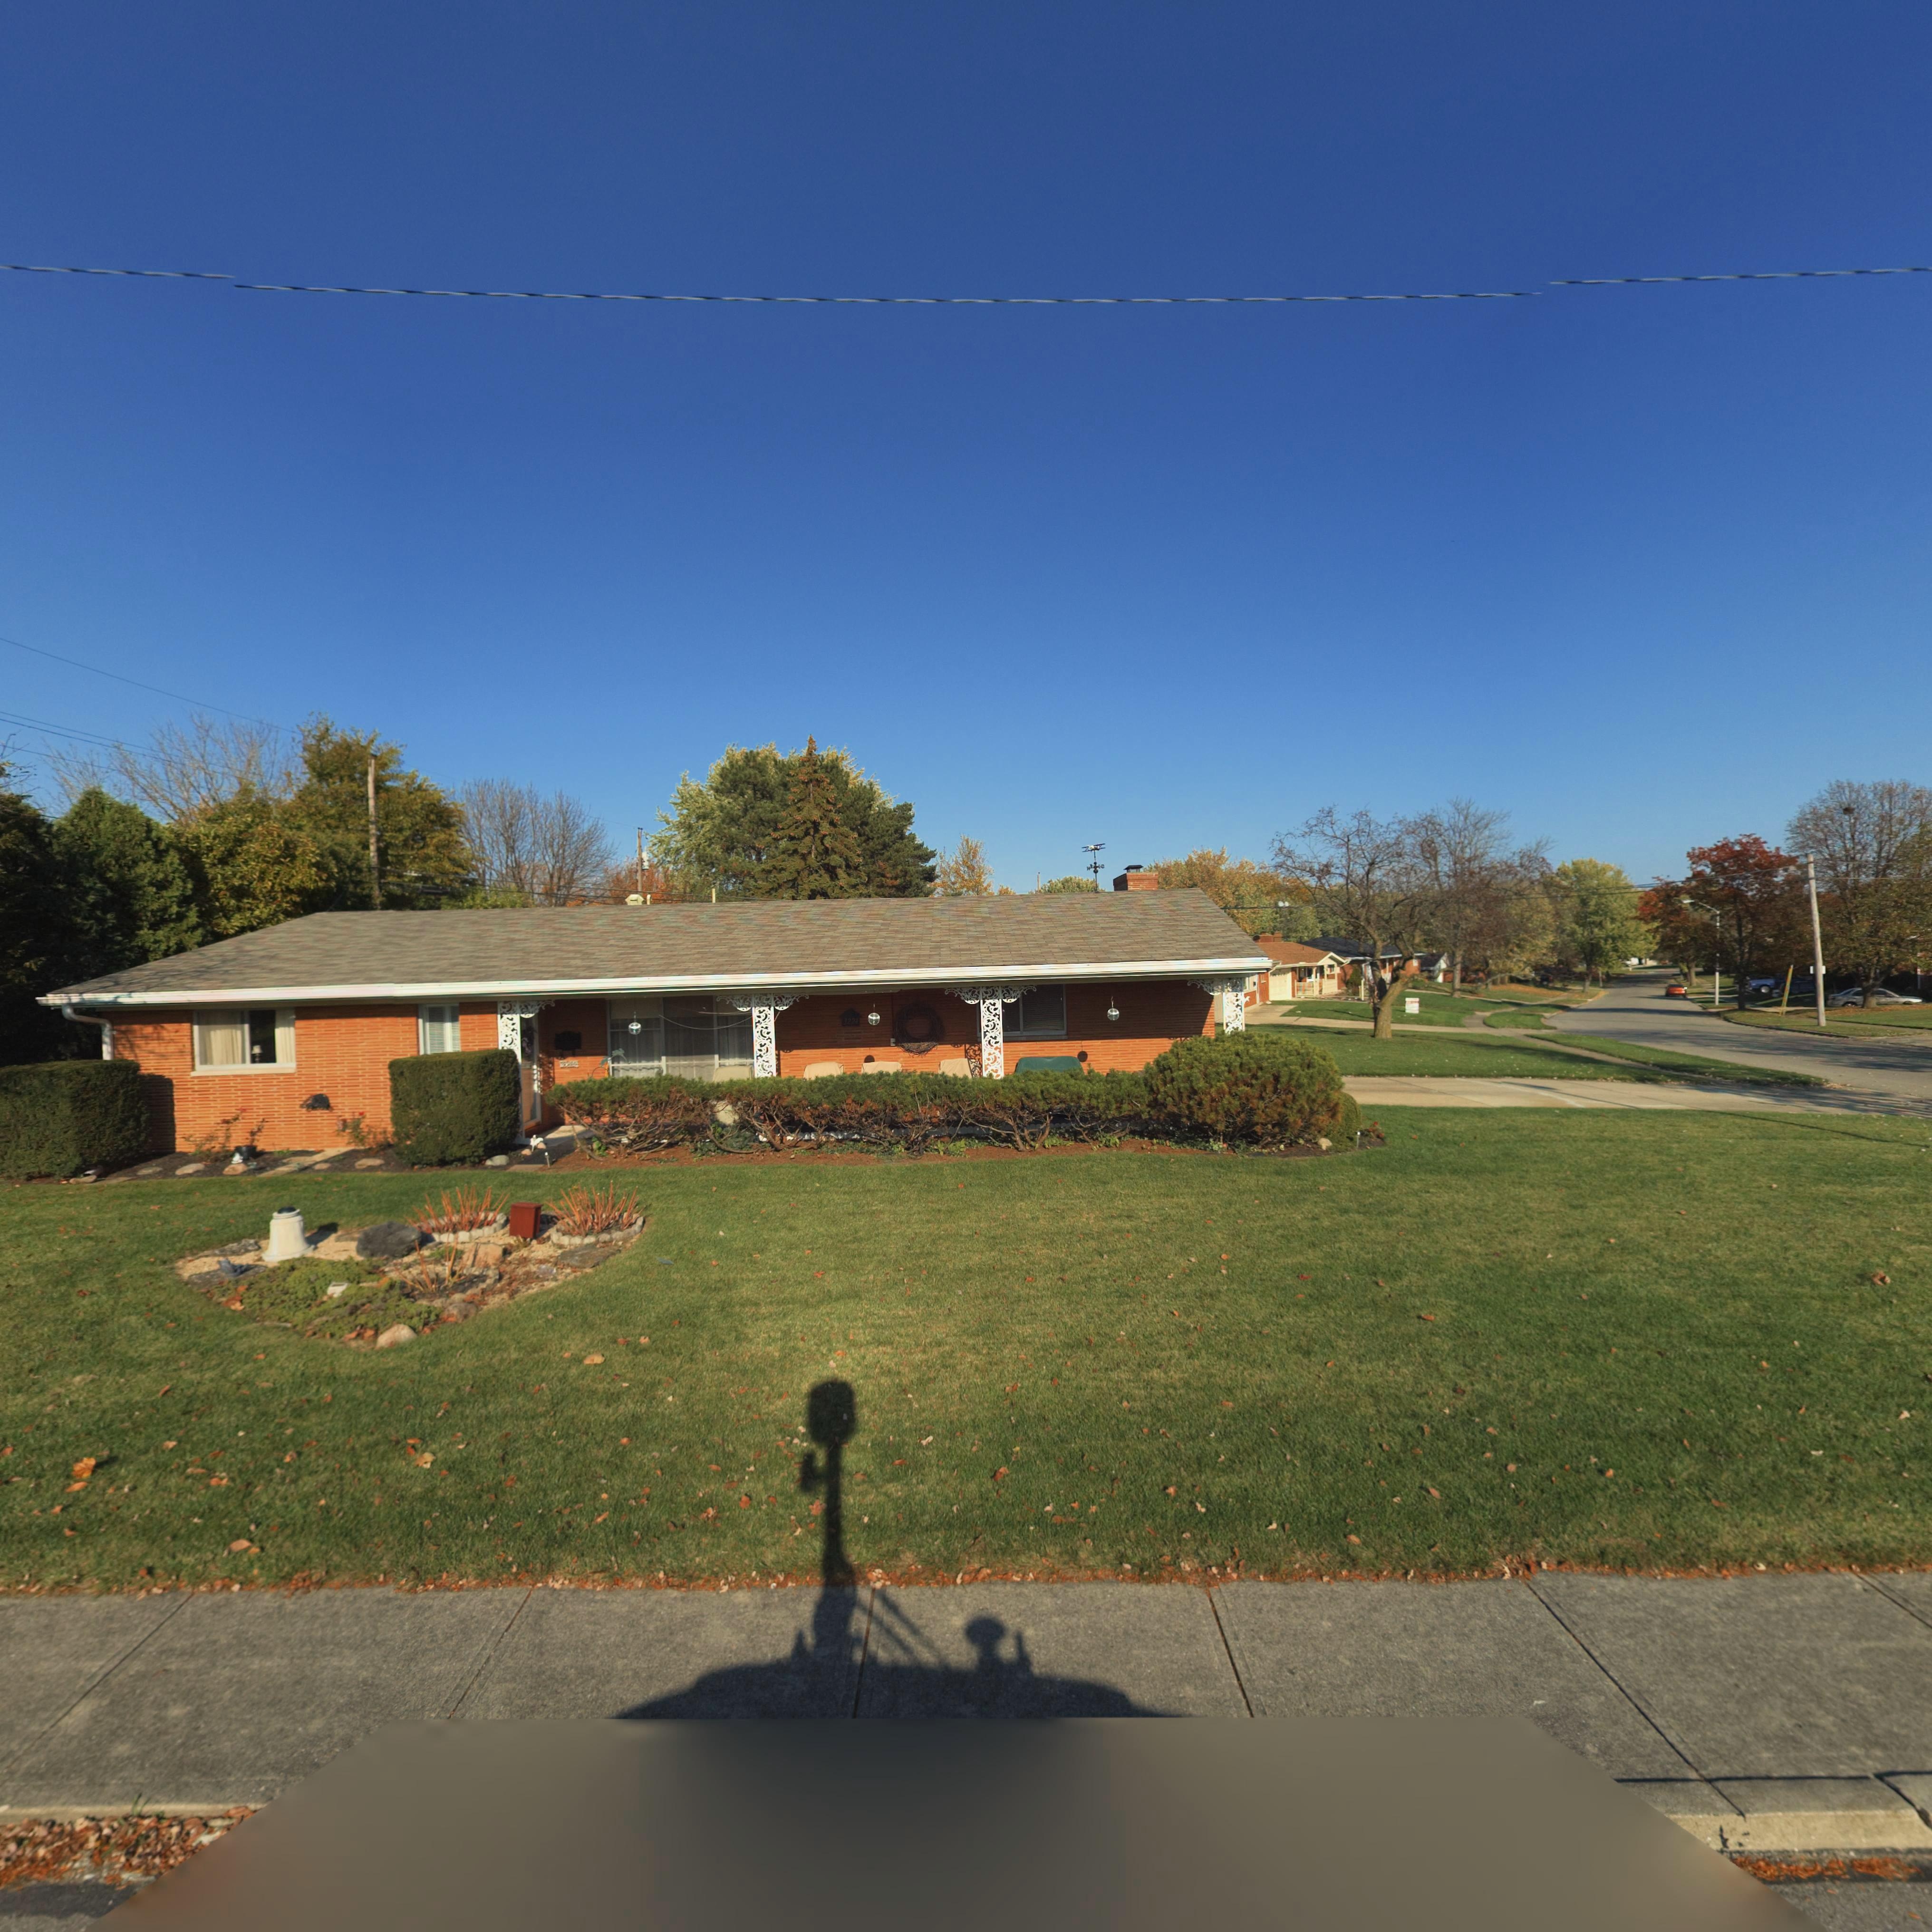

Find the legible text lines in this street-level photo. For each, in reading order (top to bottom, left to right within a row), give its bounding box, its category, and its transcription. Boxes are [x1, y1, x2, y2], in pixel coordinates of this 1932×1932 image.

[843, 1017, 858, 1024] StreetNumber: 3224